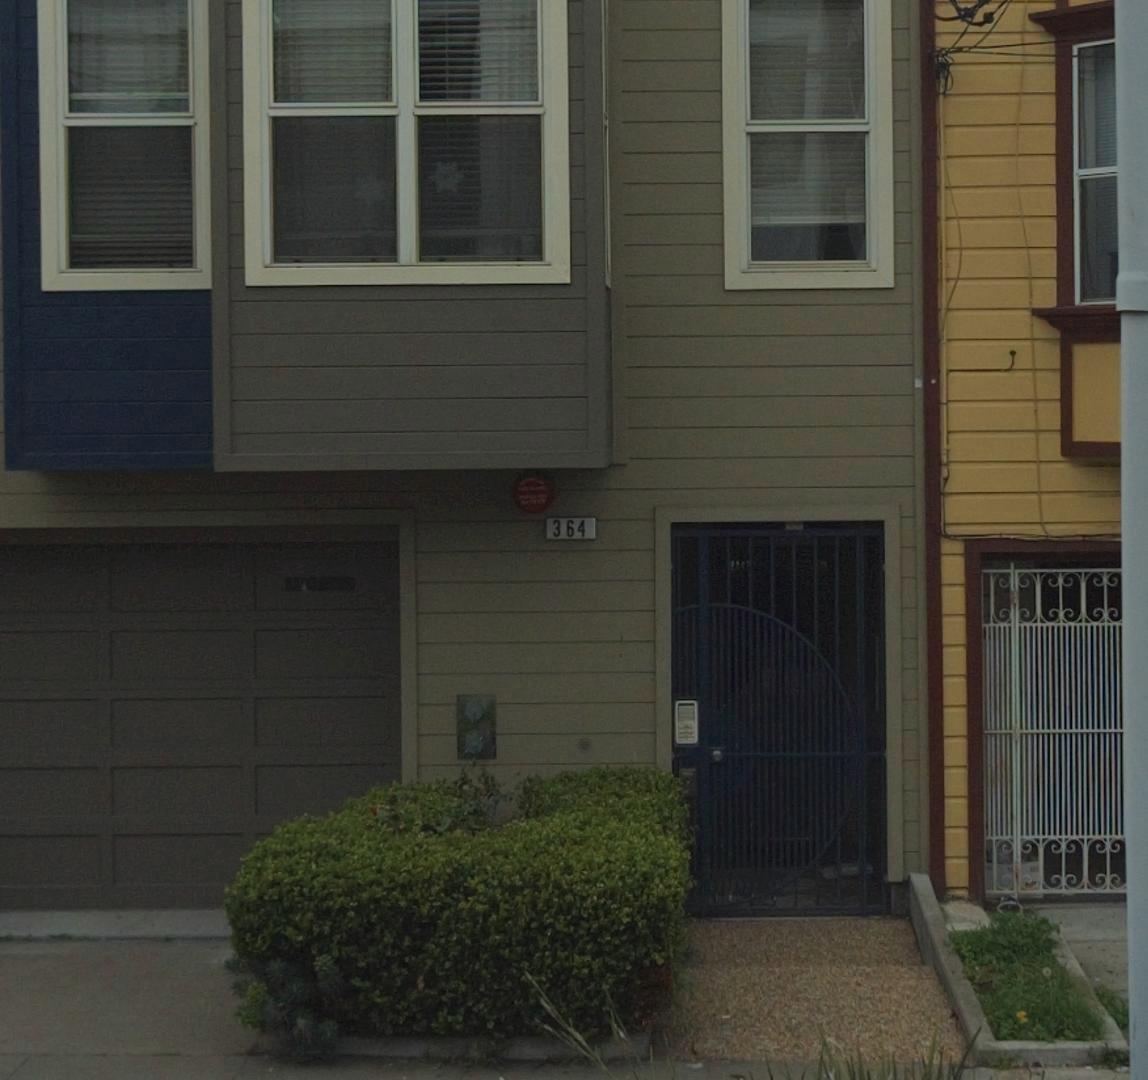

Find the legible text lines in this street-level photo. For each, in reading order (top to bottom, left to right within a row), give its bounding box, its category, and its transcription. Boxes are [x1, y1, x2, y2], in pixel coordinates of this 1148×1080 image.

[551, 519, 586, 539] StreetNumber: 364